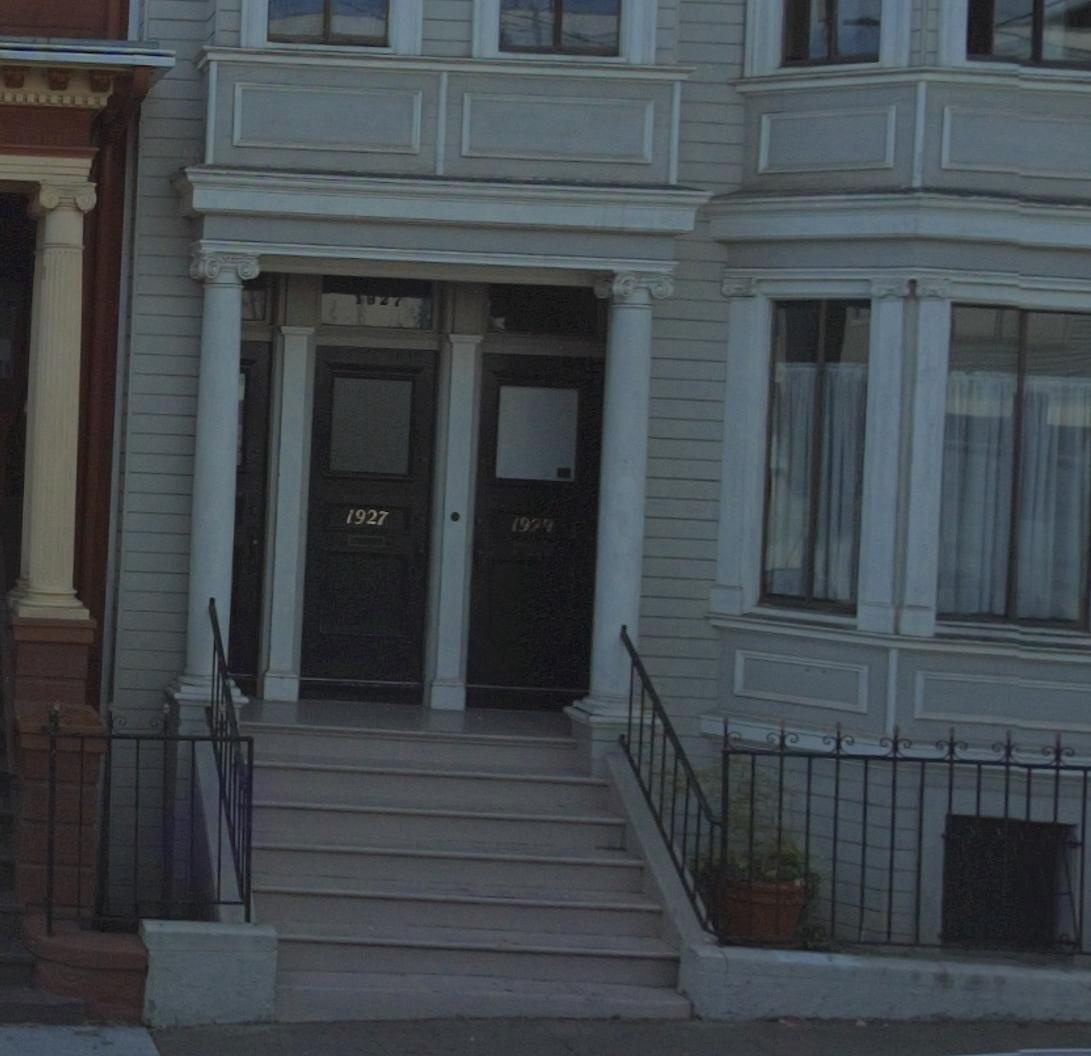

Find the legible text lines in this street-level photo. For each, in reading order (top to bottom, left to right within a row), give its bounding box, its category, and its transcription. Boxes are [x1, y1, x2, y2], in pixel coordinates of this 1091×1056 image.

[352, 287, 407, 310] StreetNumber: 1927
[341, 506, 393, 529] StreetNumber: 1927
[509, 515, 557, 535] StreetNumber: 1929